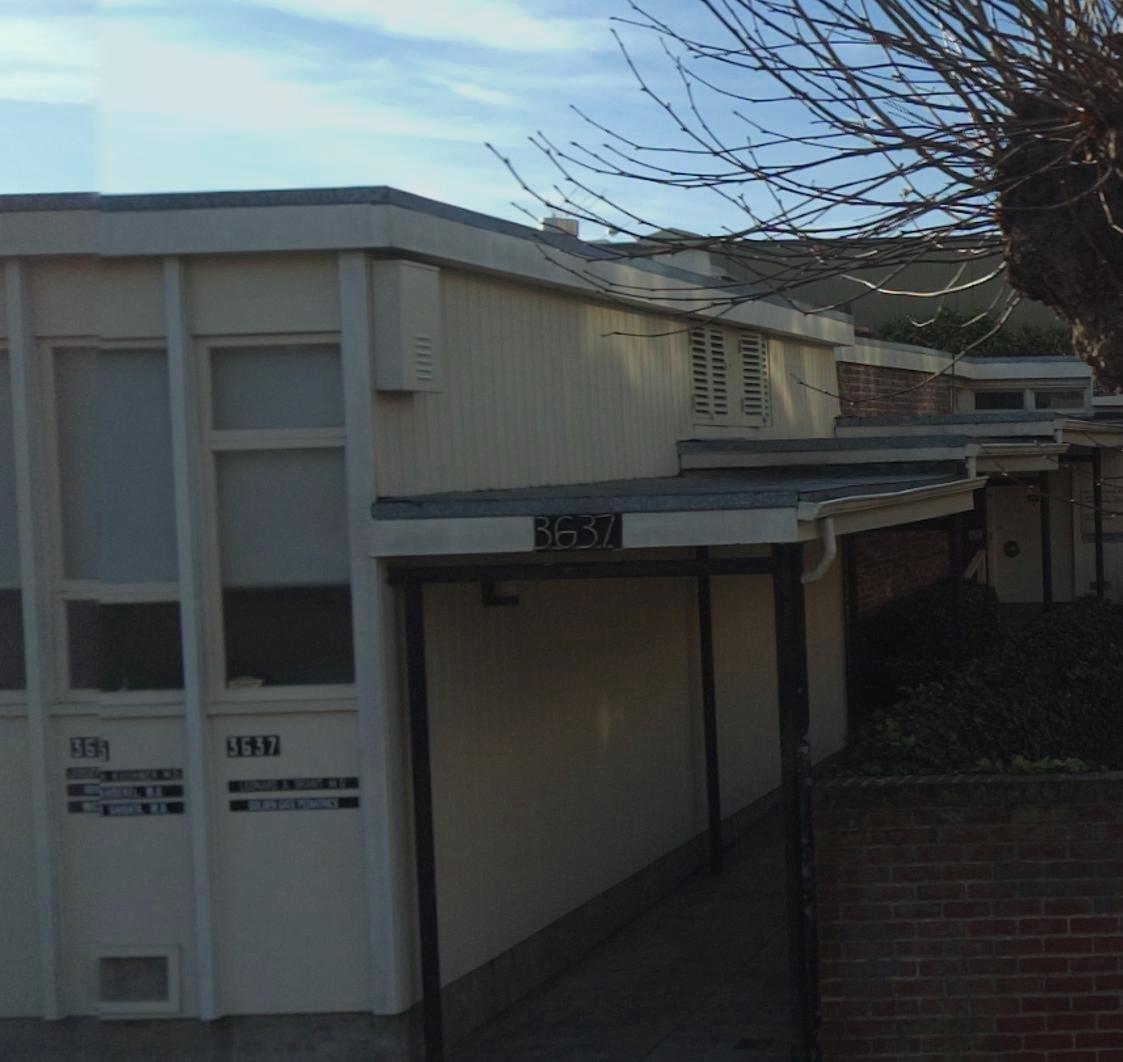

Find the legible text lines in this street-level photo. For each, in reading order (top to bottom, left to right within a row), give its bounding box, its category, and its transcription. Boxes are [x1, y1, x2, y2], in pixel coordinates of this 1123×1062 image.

[532, 511, 617, 552] StreetNumber: 3637
[68, 736, 97, 759] StreetNumber: 36
[227, 733, 280, 758] StreetNumber: 3637